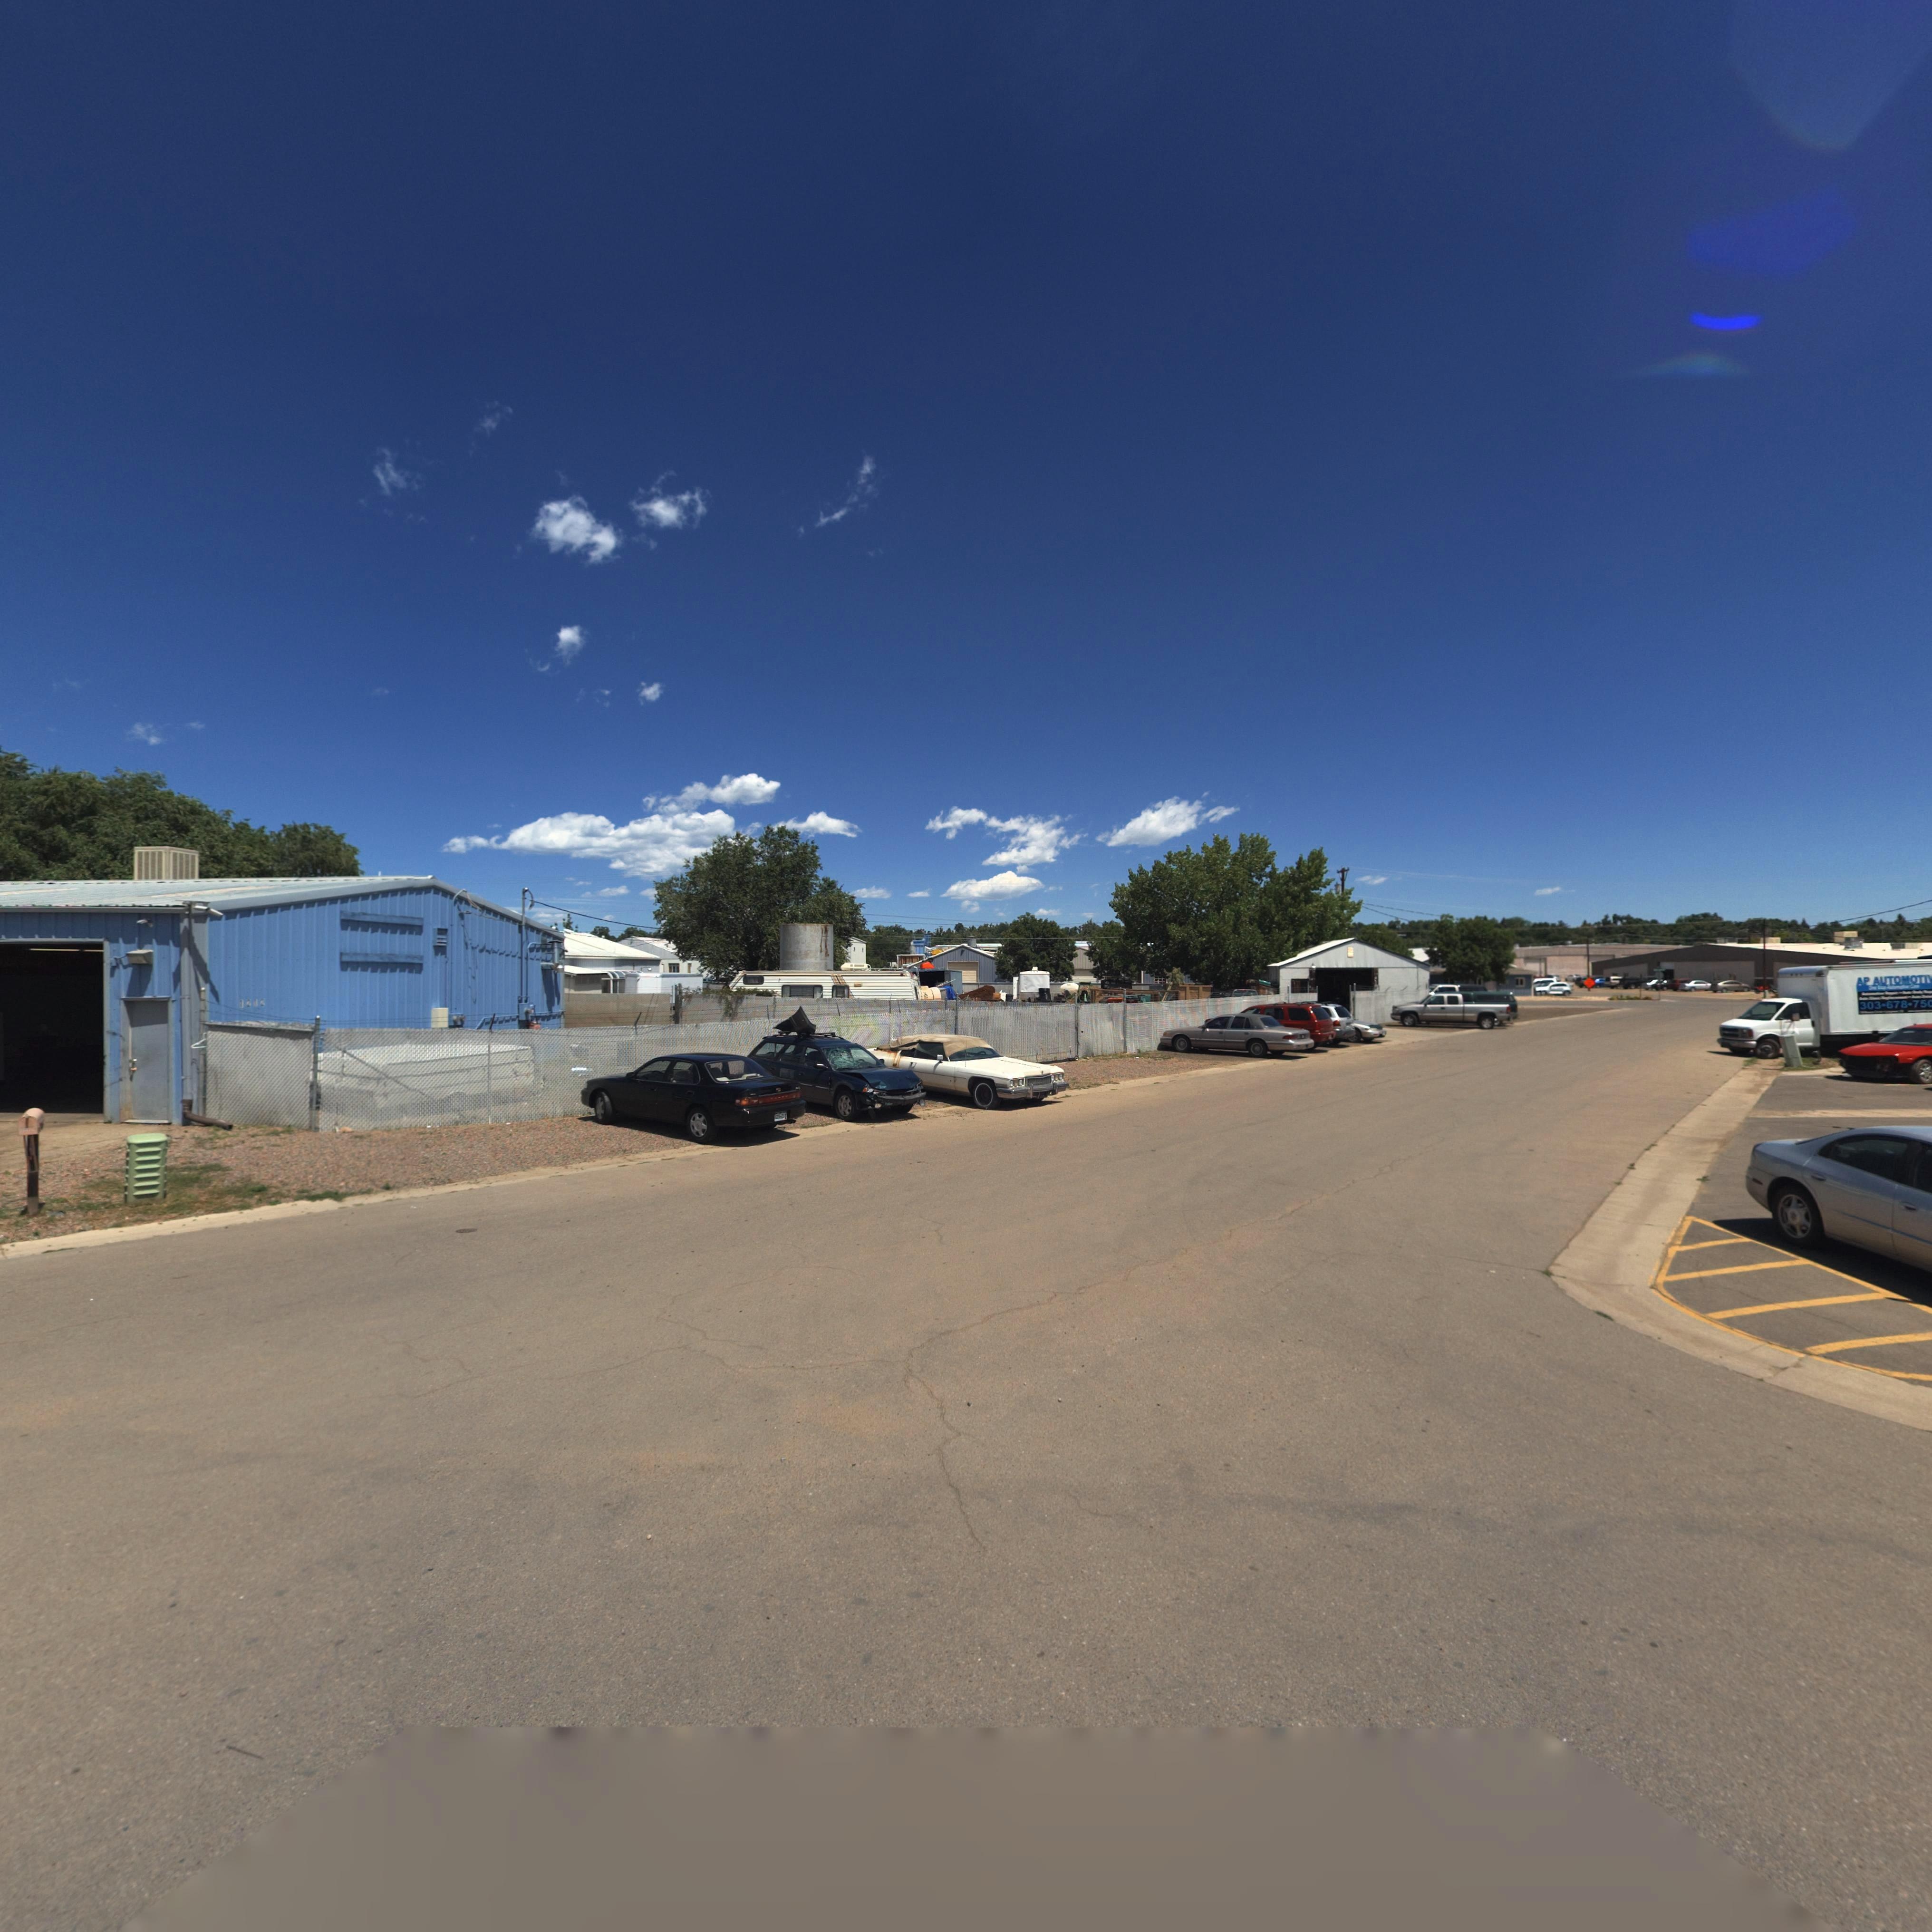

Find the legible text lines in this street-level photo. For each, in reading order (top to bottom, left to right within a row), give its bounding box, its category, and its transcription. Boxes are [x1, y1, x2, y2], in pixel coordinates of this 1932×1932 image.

[237, 997, 266, 1008] StreetNumber: 1212